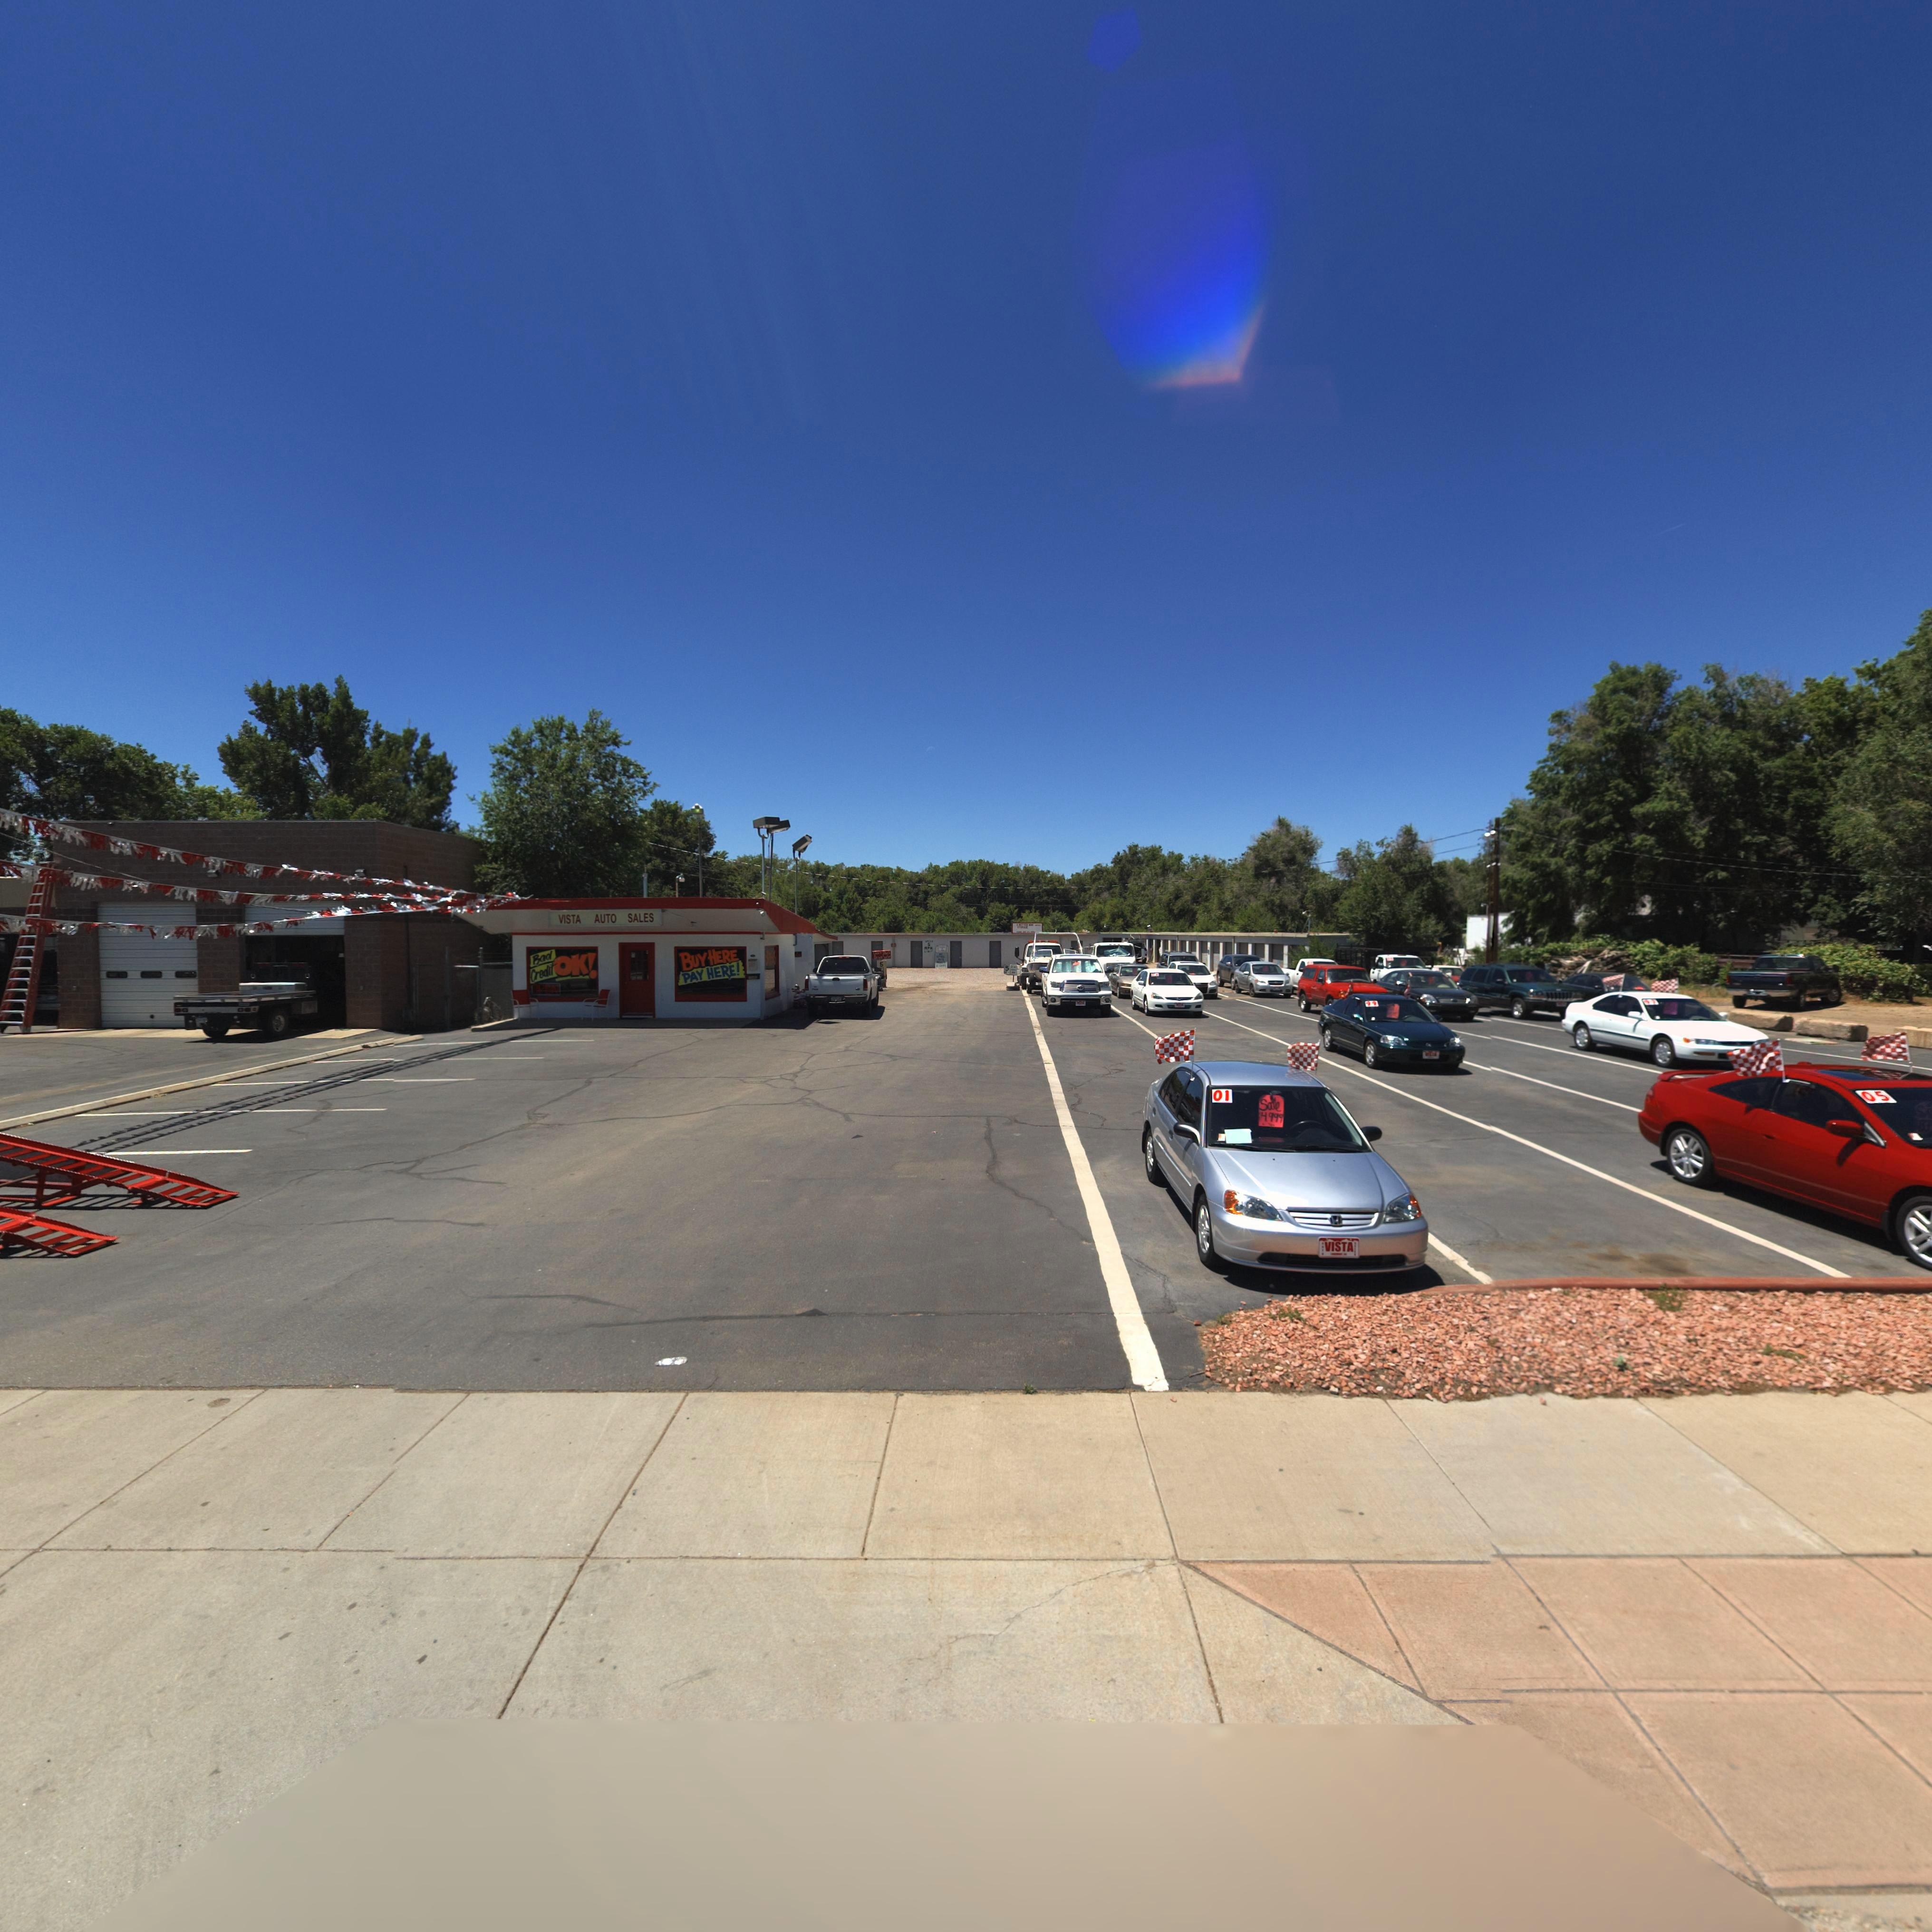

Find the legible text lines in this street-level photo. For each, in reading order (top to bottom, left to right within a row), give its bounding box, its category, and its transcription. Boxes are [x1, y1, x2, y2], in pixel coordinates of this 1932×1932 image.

[557, 912, 655, 924] BusinessName: VISTA AUTO SALES